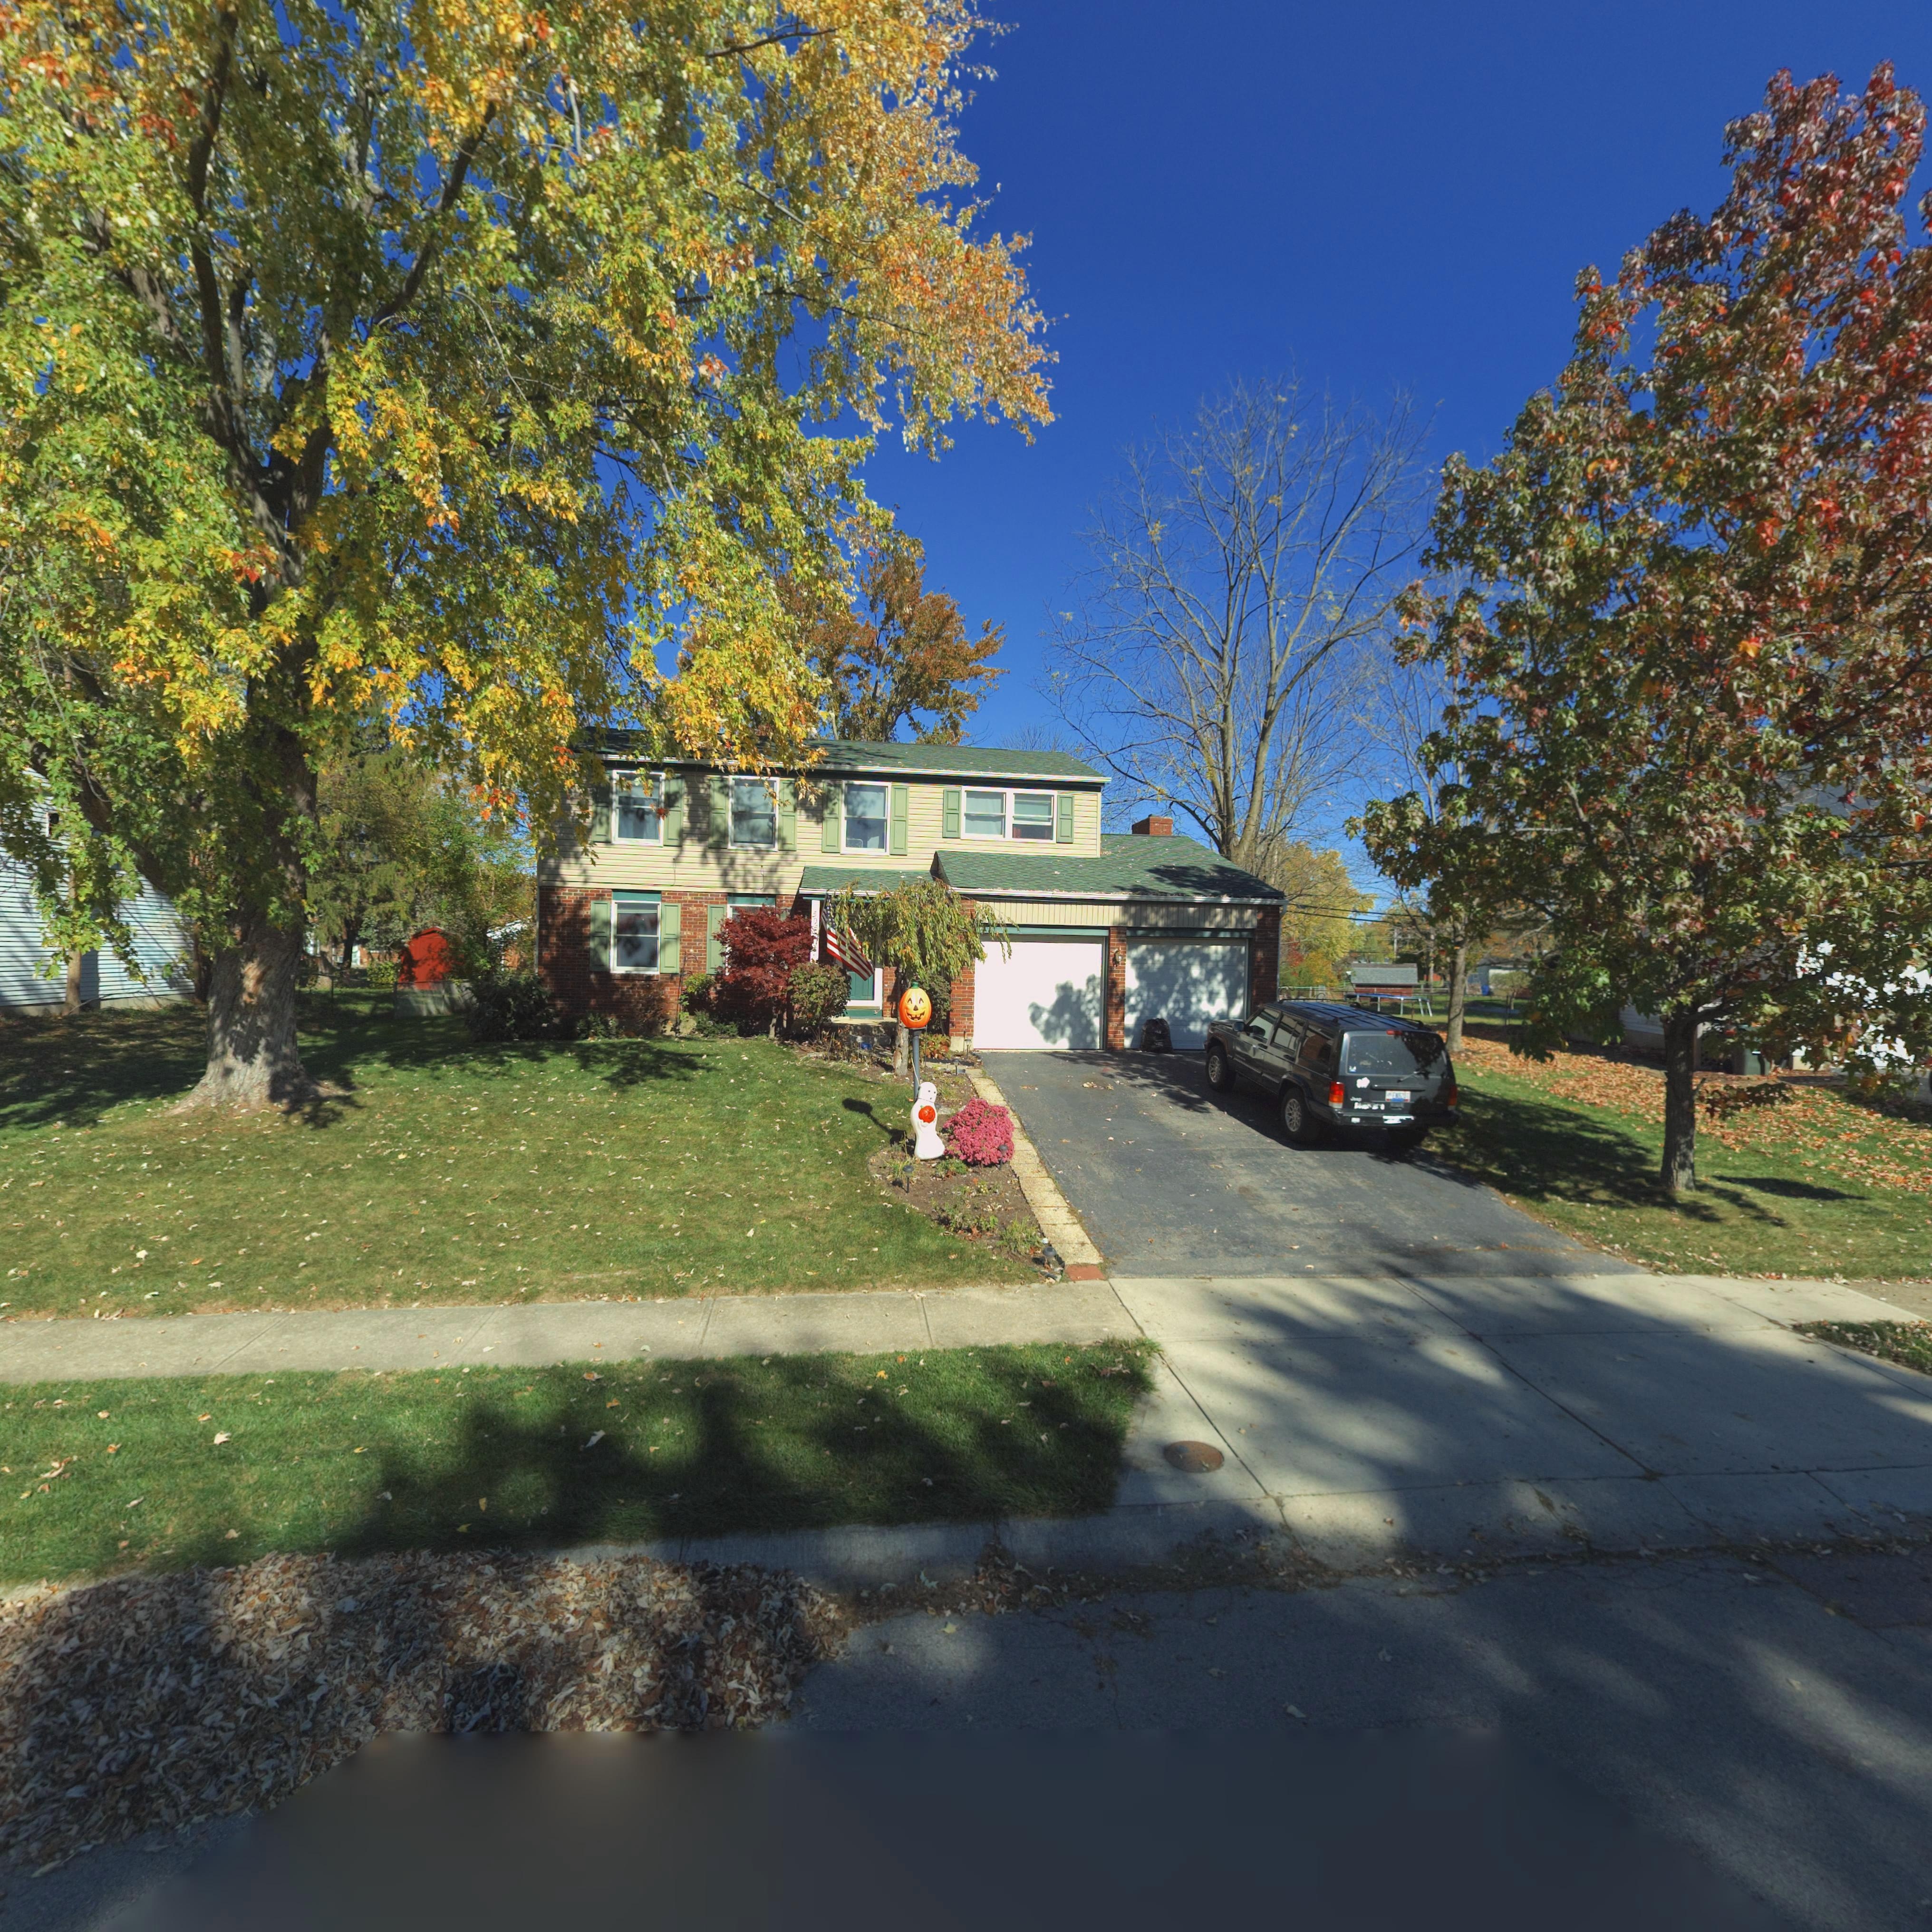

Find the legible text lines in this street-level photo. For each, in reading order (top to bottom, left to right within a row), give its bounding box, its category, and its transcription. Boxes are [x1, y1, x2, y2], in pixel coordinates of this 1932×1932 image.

[811, 910, 819, 926] StreetNumber: 5*